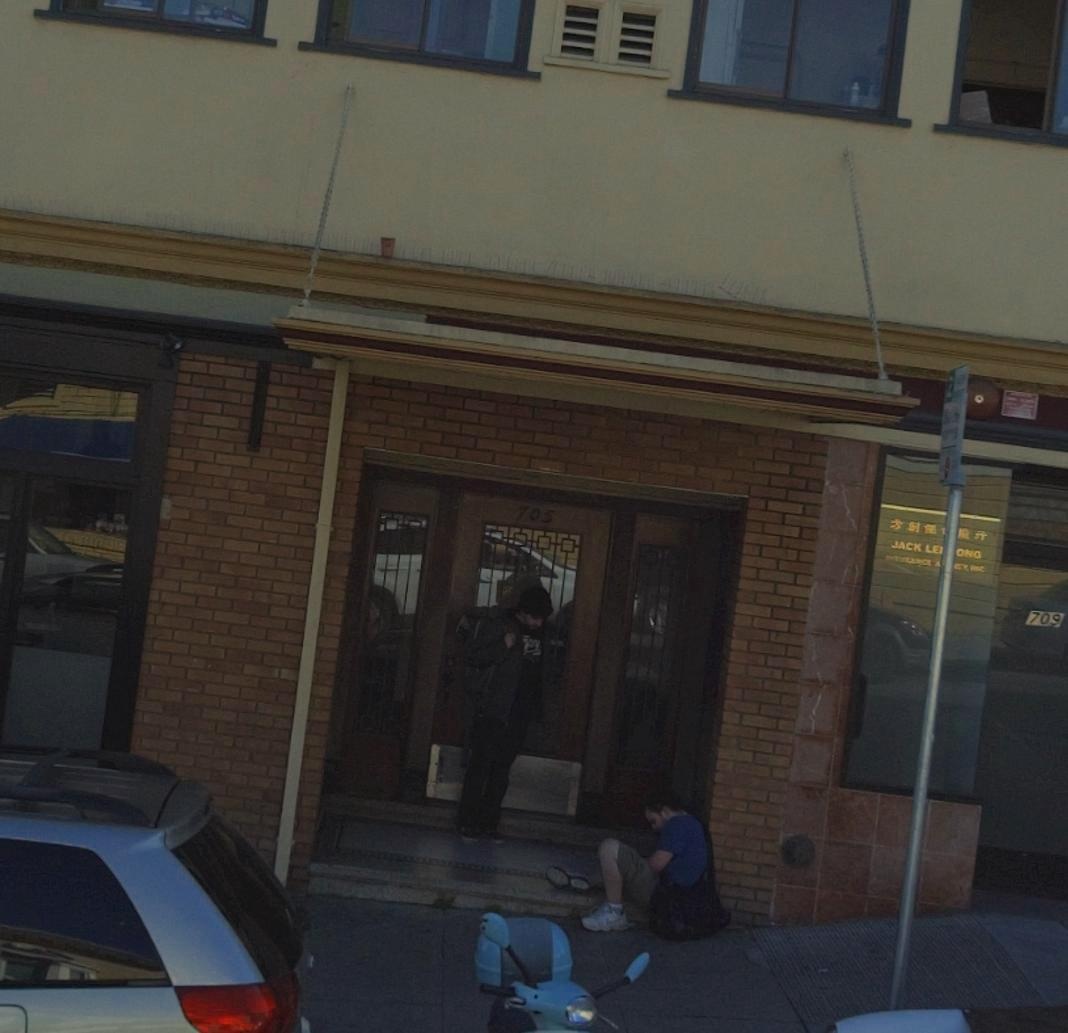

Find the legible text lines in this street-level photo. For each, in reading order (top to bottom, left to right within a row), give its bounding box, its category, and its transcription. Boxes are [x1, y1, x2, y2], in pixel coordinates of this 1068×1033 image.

[516, 503, 558, 525] StreetNumber: 705
[889, 540, 941, 554] None: JACK LE
[955, 547, 982, 560] None: ONG
[1027, 611, 1063, 627] StreetNumber: 709